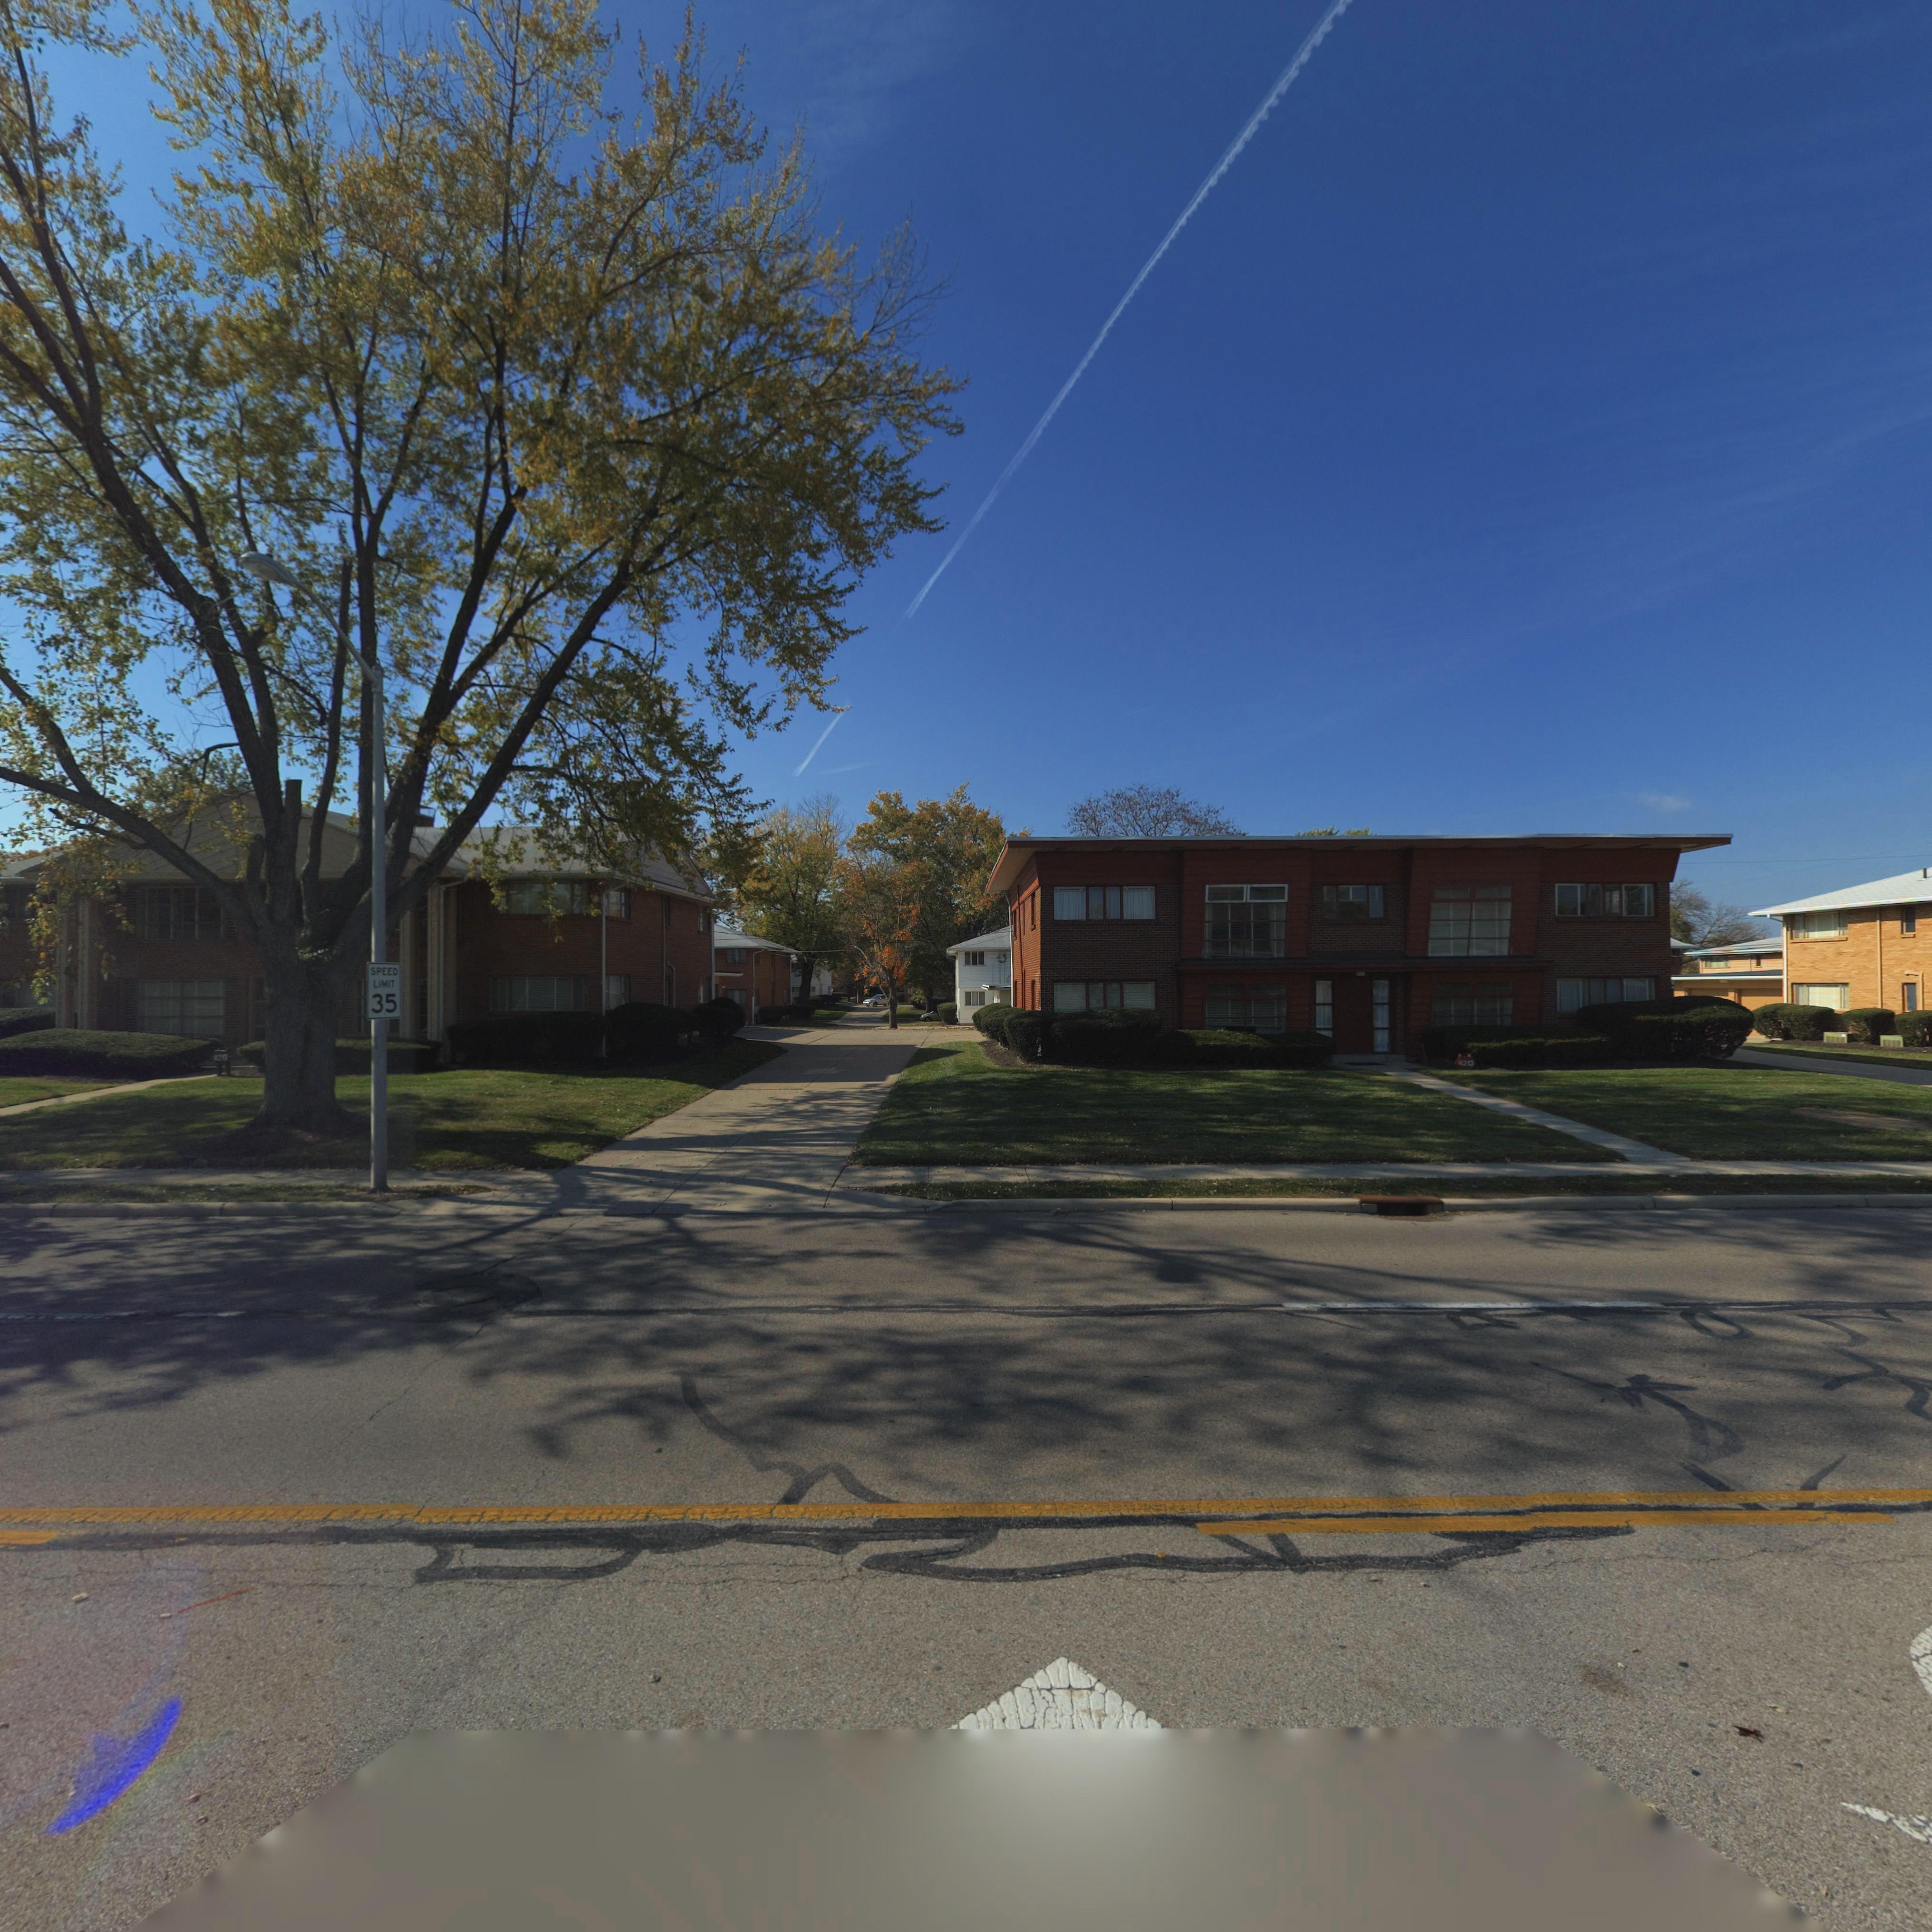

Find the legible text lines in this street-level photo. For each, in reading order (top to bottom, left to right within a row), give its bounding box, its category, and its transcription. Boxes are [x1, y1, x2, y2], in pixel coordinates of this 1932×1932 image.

[370, 966, 398, 976] None: SPEED
[373, 979, 396, 988] None: LIMIT
[371, 993, 397, 1014] None: 35
[213, 1054, 228, 1061] StreetNumber: 421*
[1457, 1060, 1475, 1067] StreetNumber: 4213